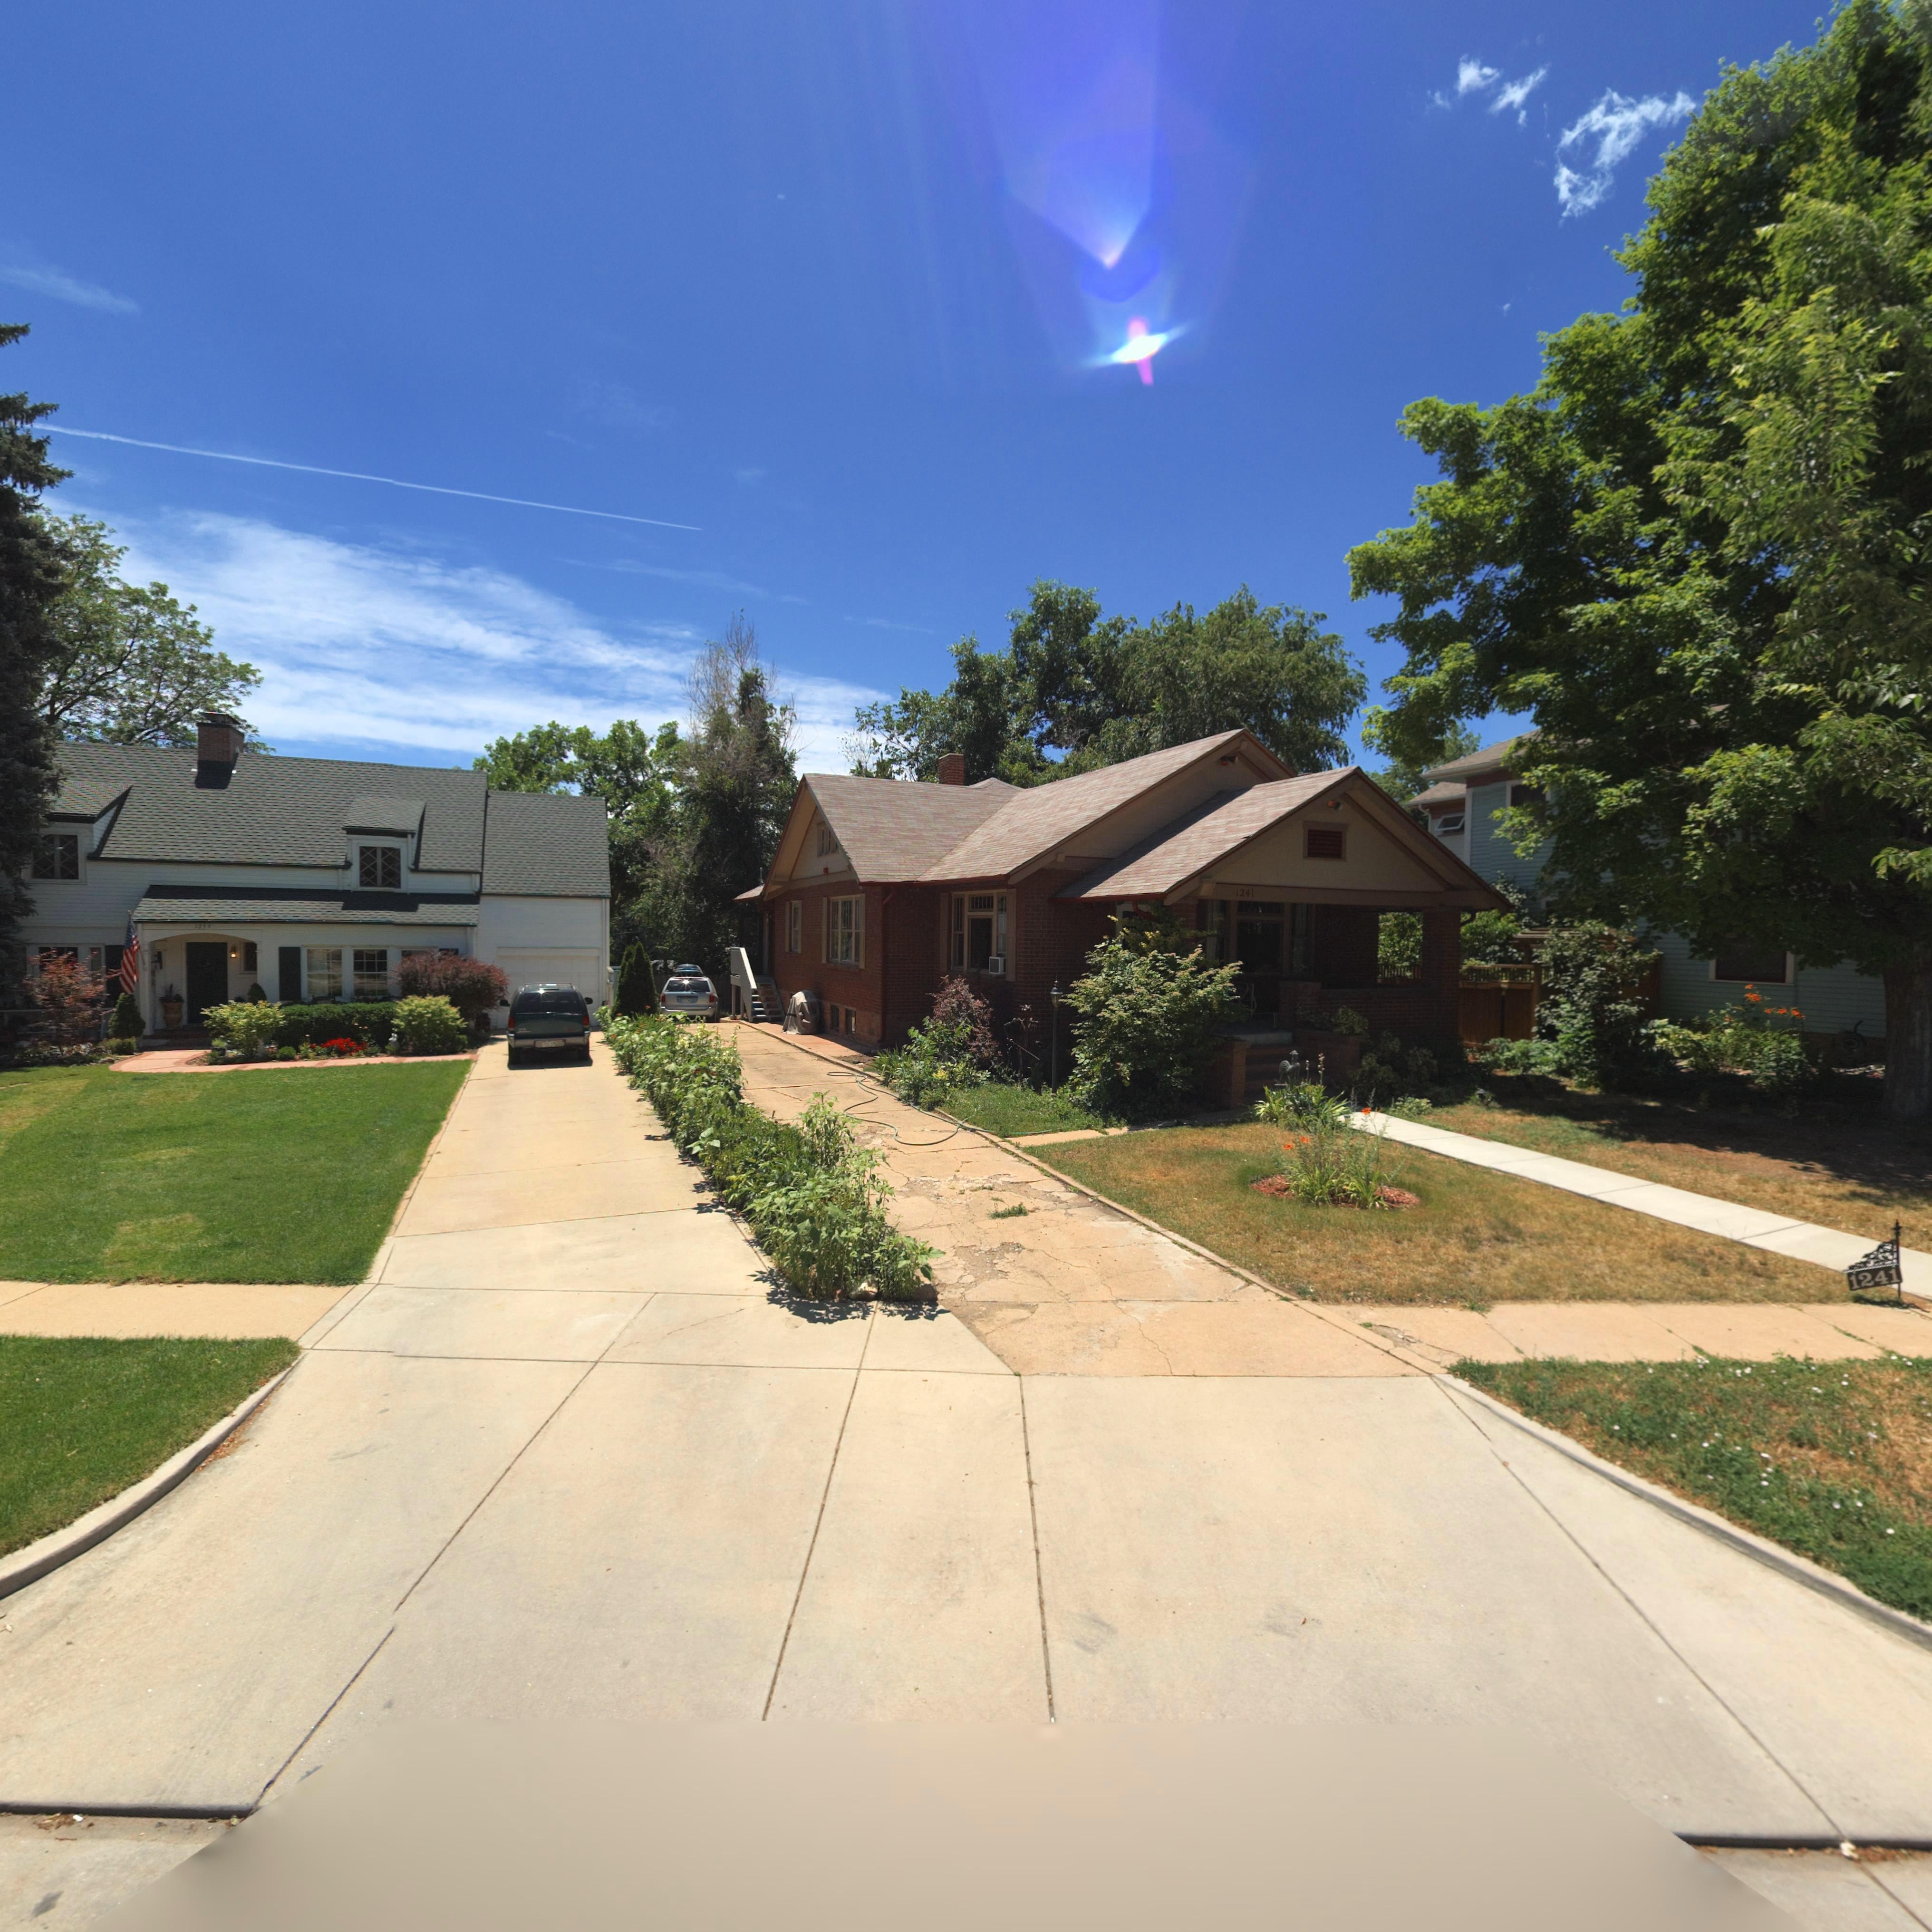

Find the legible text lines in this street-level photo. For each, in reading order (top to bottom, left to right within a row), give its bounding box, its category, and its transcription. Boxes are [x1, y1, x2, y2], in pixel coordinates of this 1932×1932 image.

[1235, 888, 1254, 898] StreetNumber: 1241
[194, 924, 211, 929] StreetNumber: 12**
[1849, 1268, 1901, 1289] StreetNumber: 1241